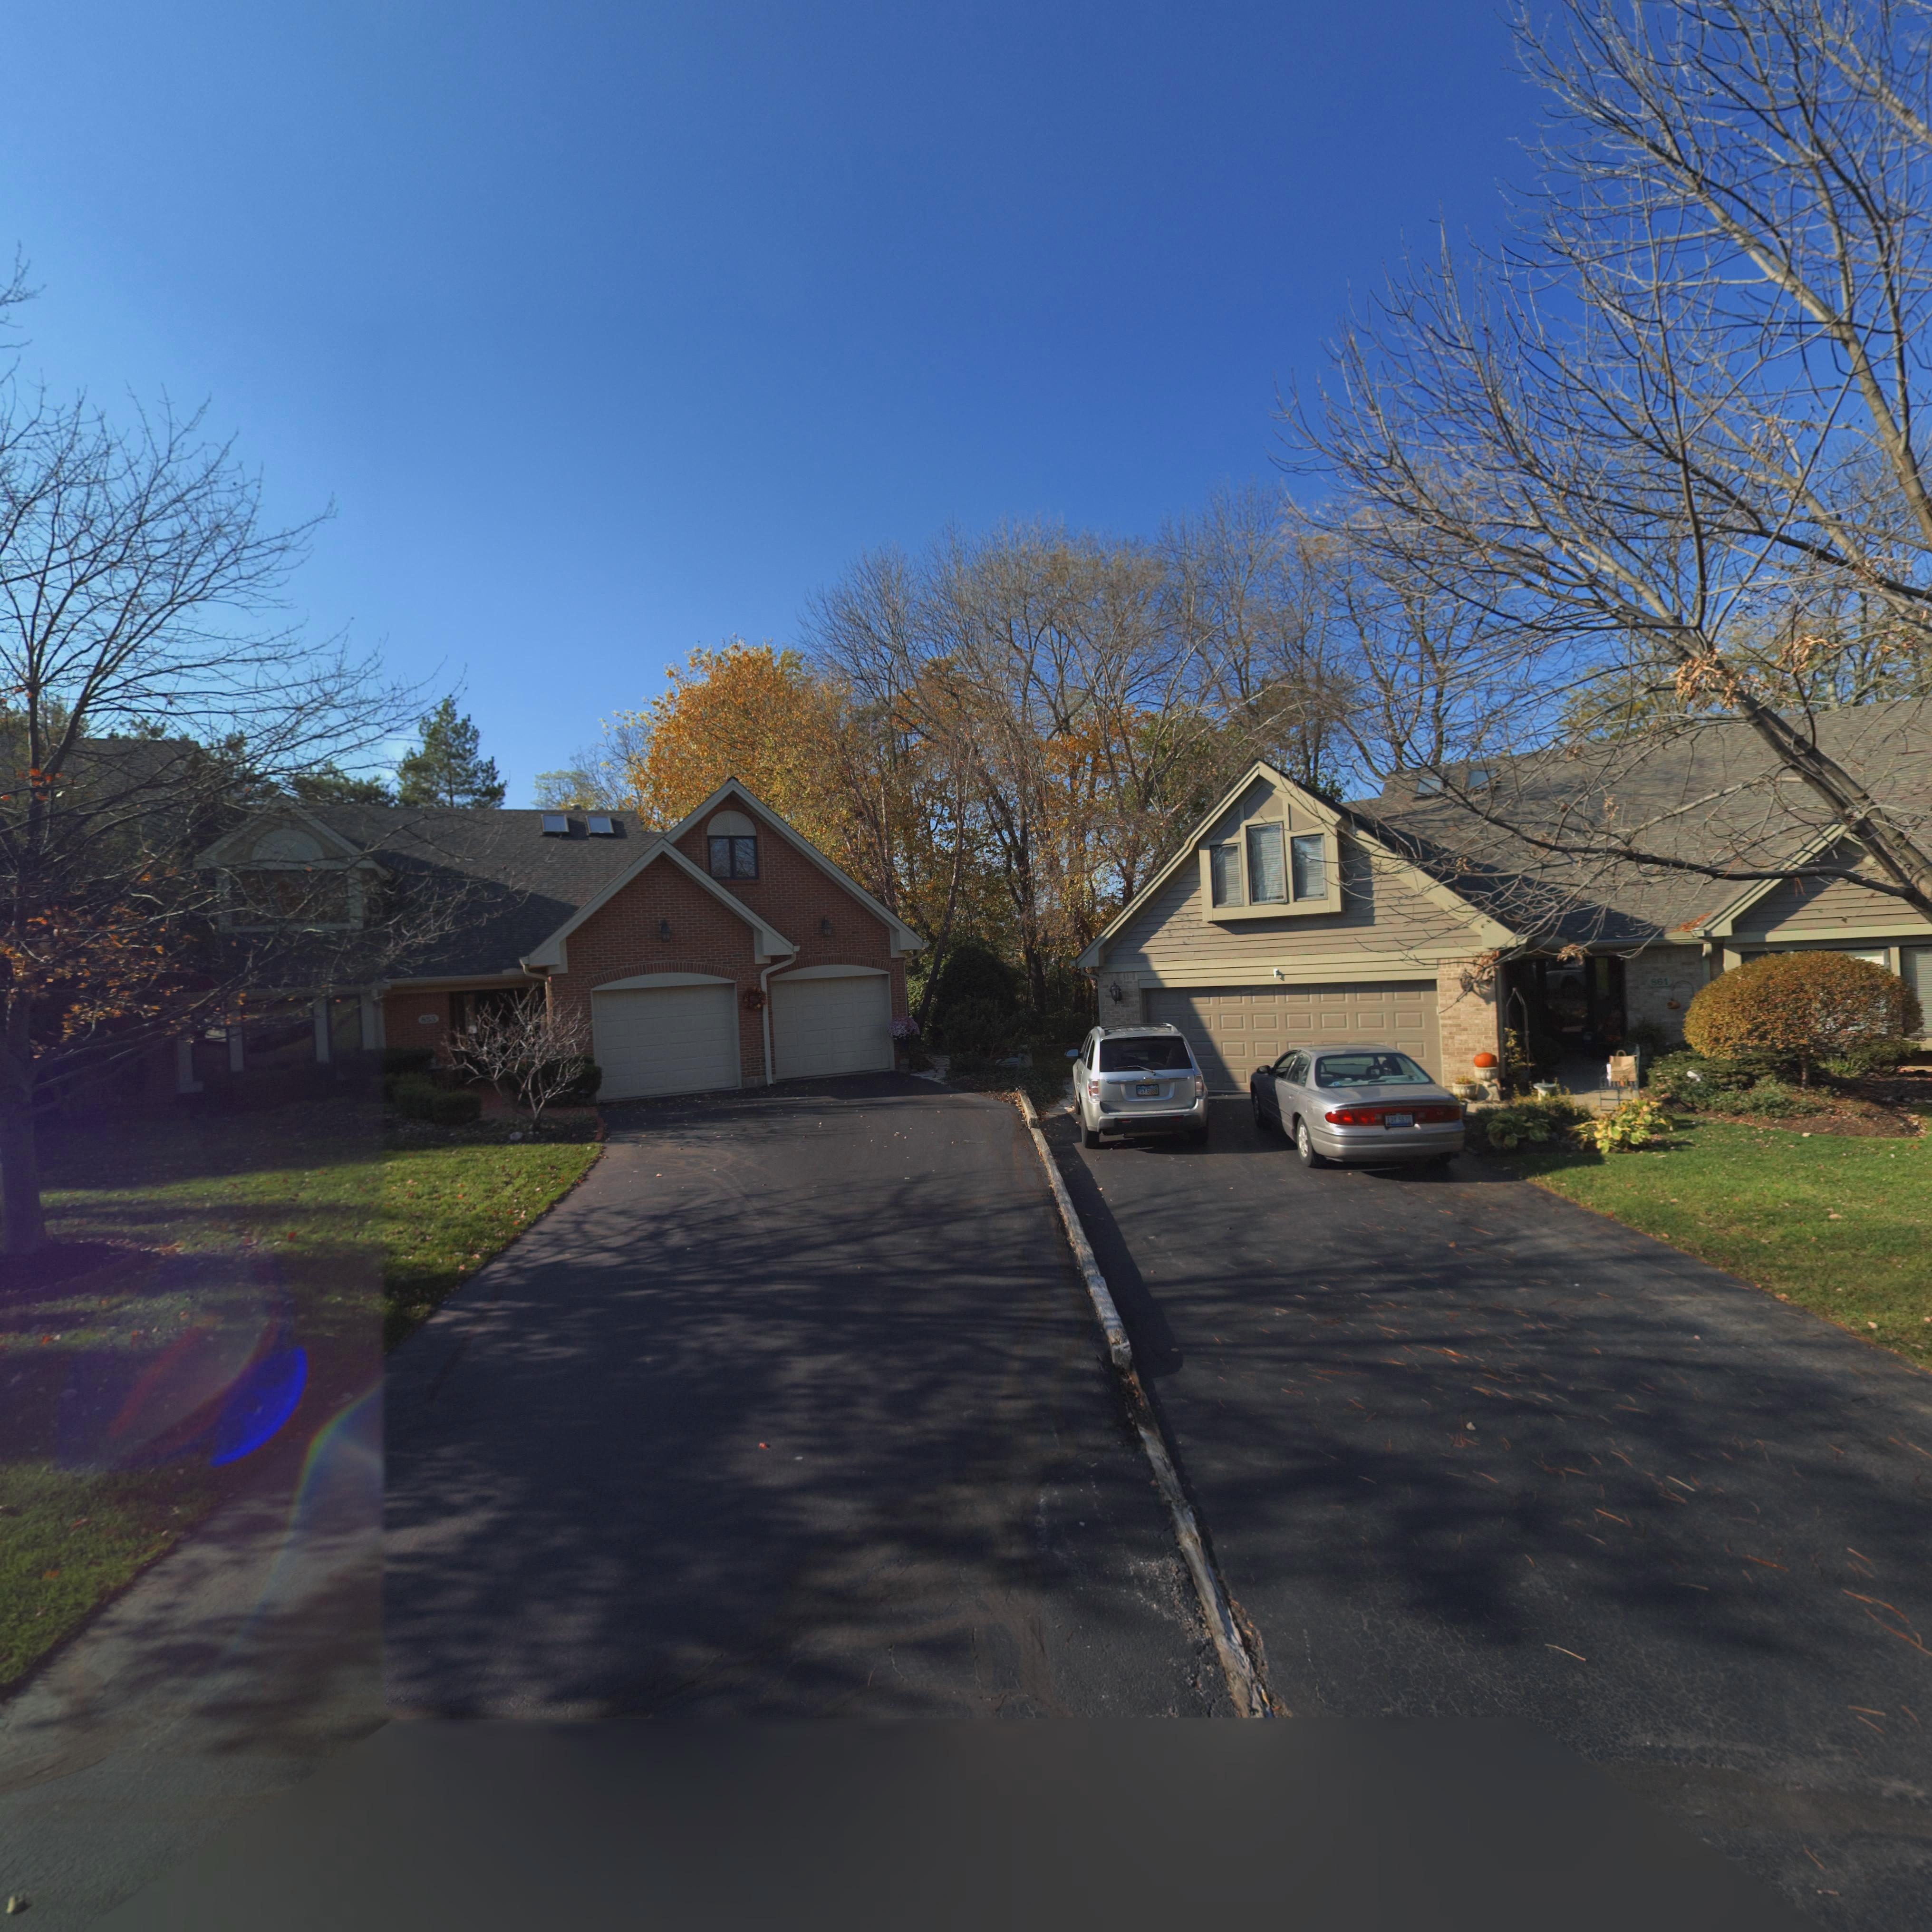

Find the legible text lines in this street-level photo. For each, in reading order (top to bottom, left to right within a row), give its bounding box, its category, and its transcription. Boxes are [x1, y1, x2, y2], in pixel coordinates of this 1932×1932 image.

[1651, 977, 1669, 985] StreetNumber: 861
[420, 1015, 437, 1023] StreetNumber: 853